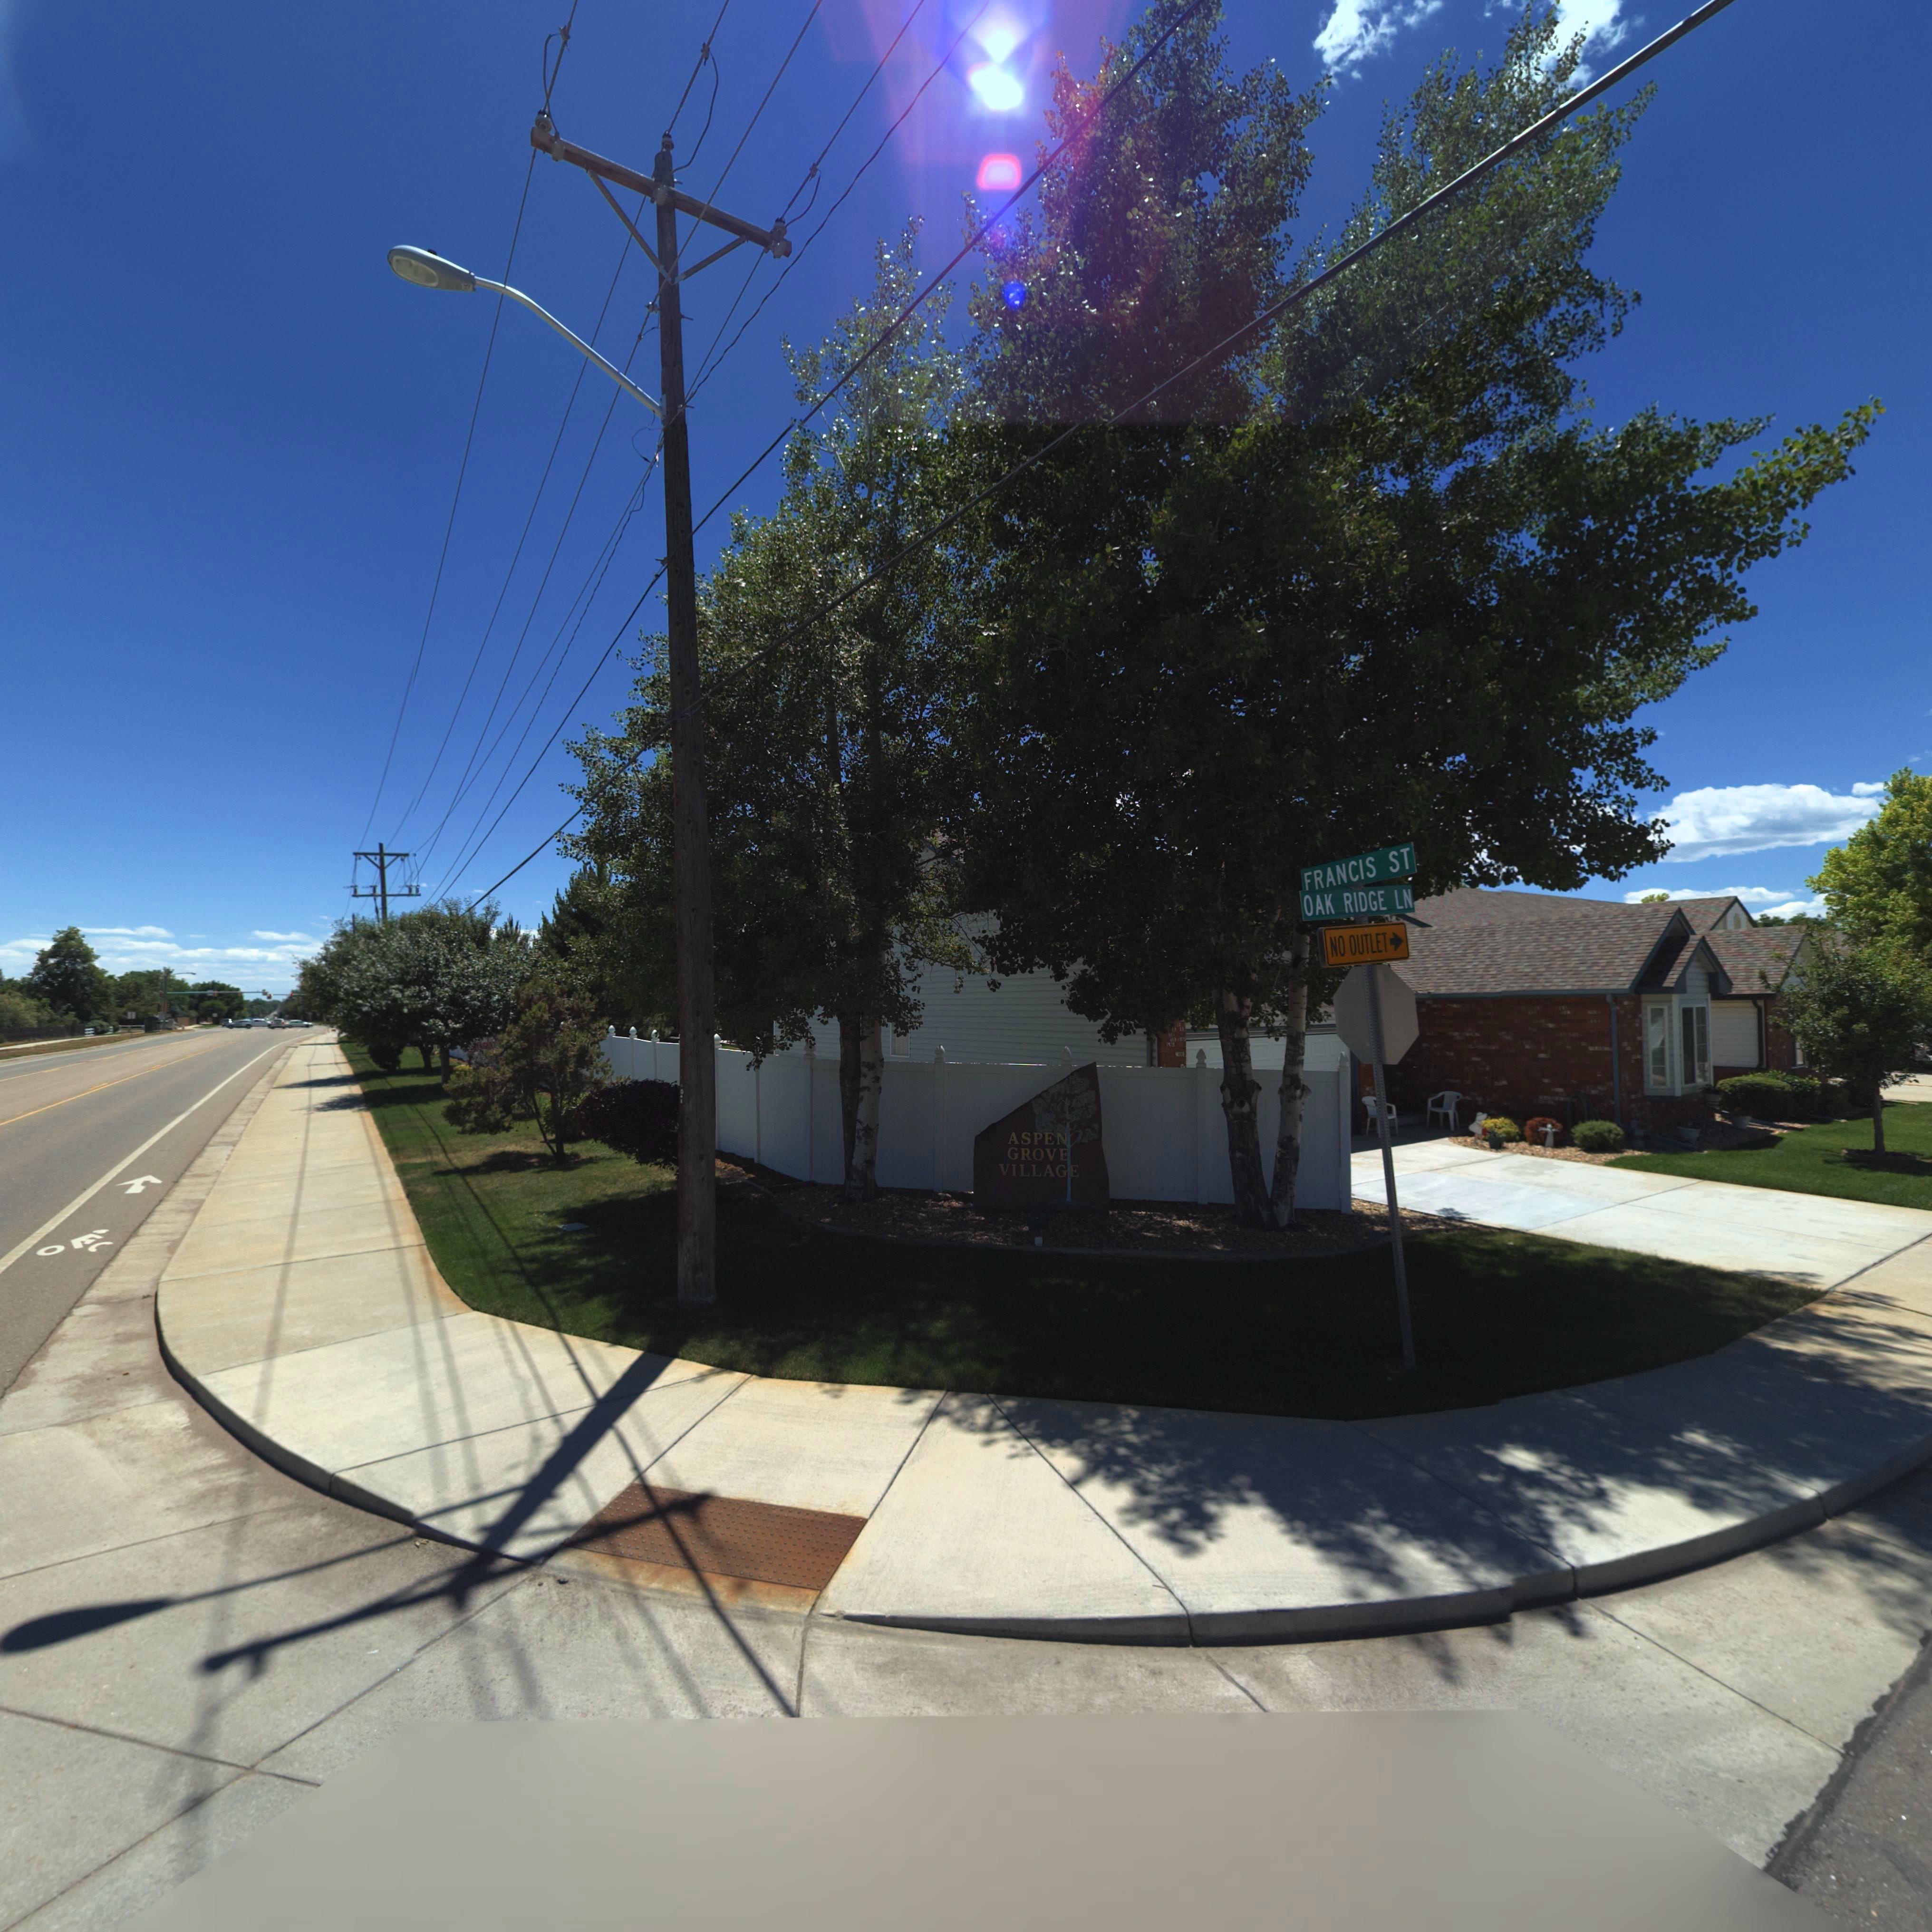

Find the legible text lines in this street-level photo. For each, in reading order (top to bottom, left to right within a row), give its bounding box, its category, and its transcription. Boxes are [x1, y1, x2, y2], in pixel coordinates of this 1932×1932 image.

[1303, 846, 1410, 891] StreetName: FRANCIS ST
[1303, 888, 1414, 917] StreetName: OAK RIDGE LN